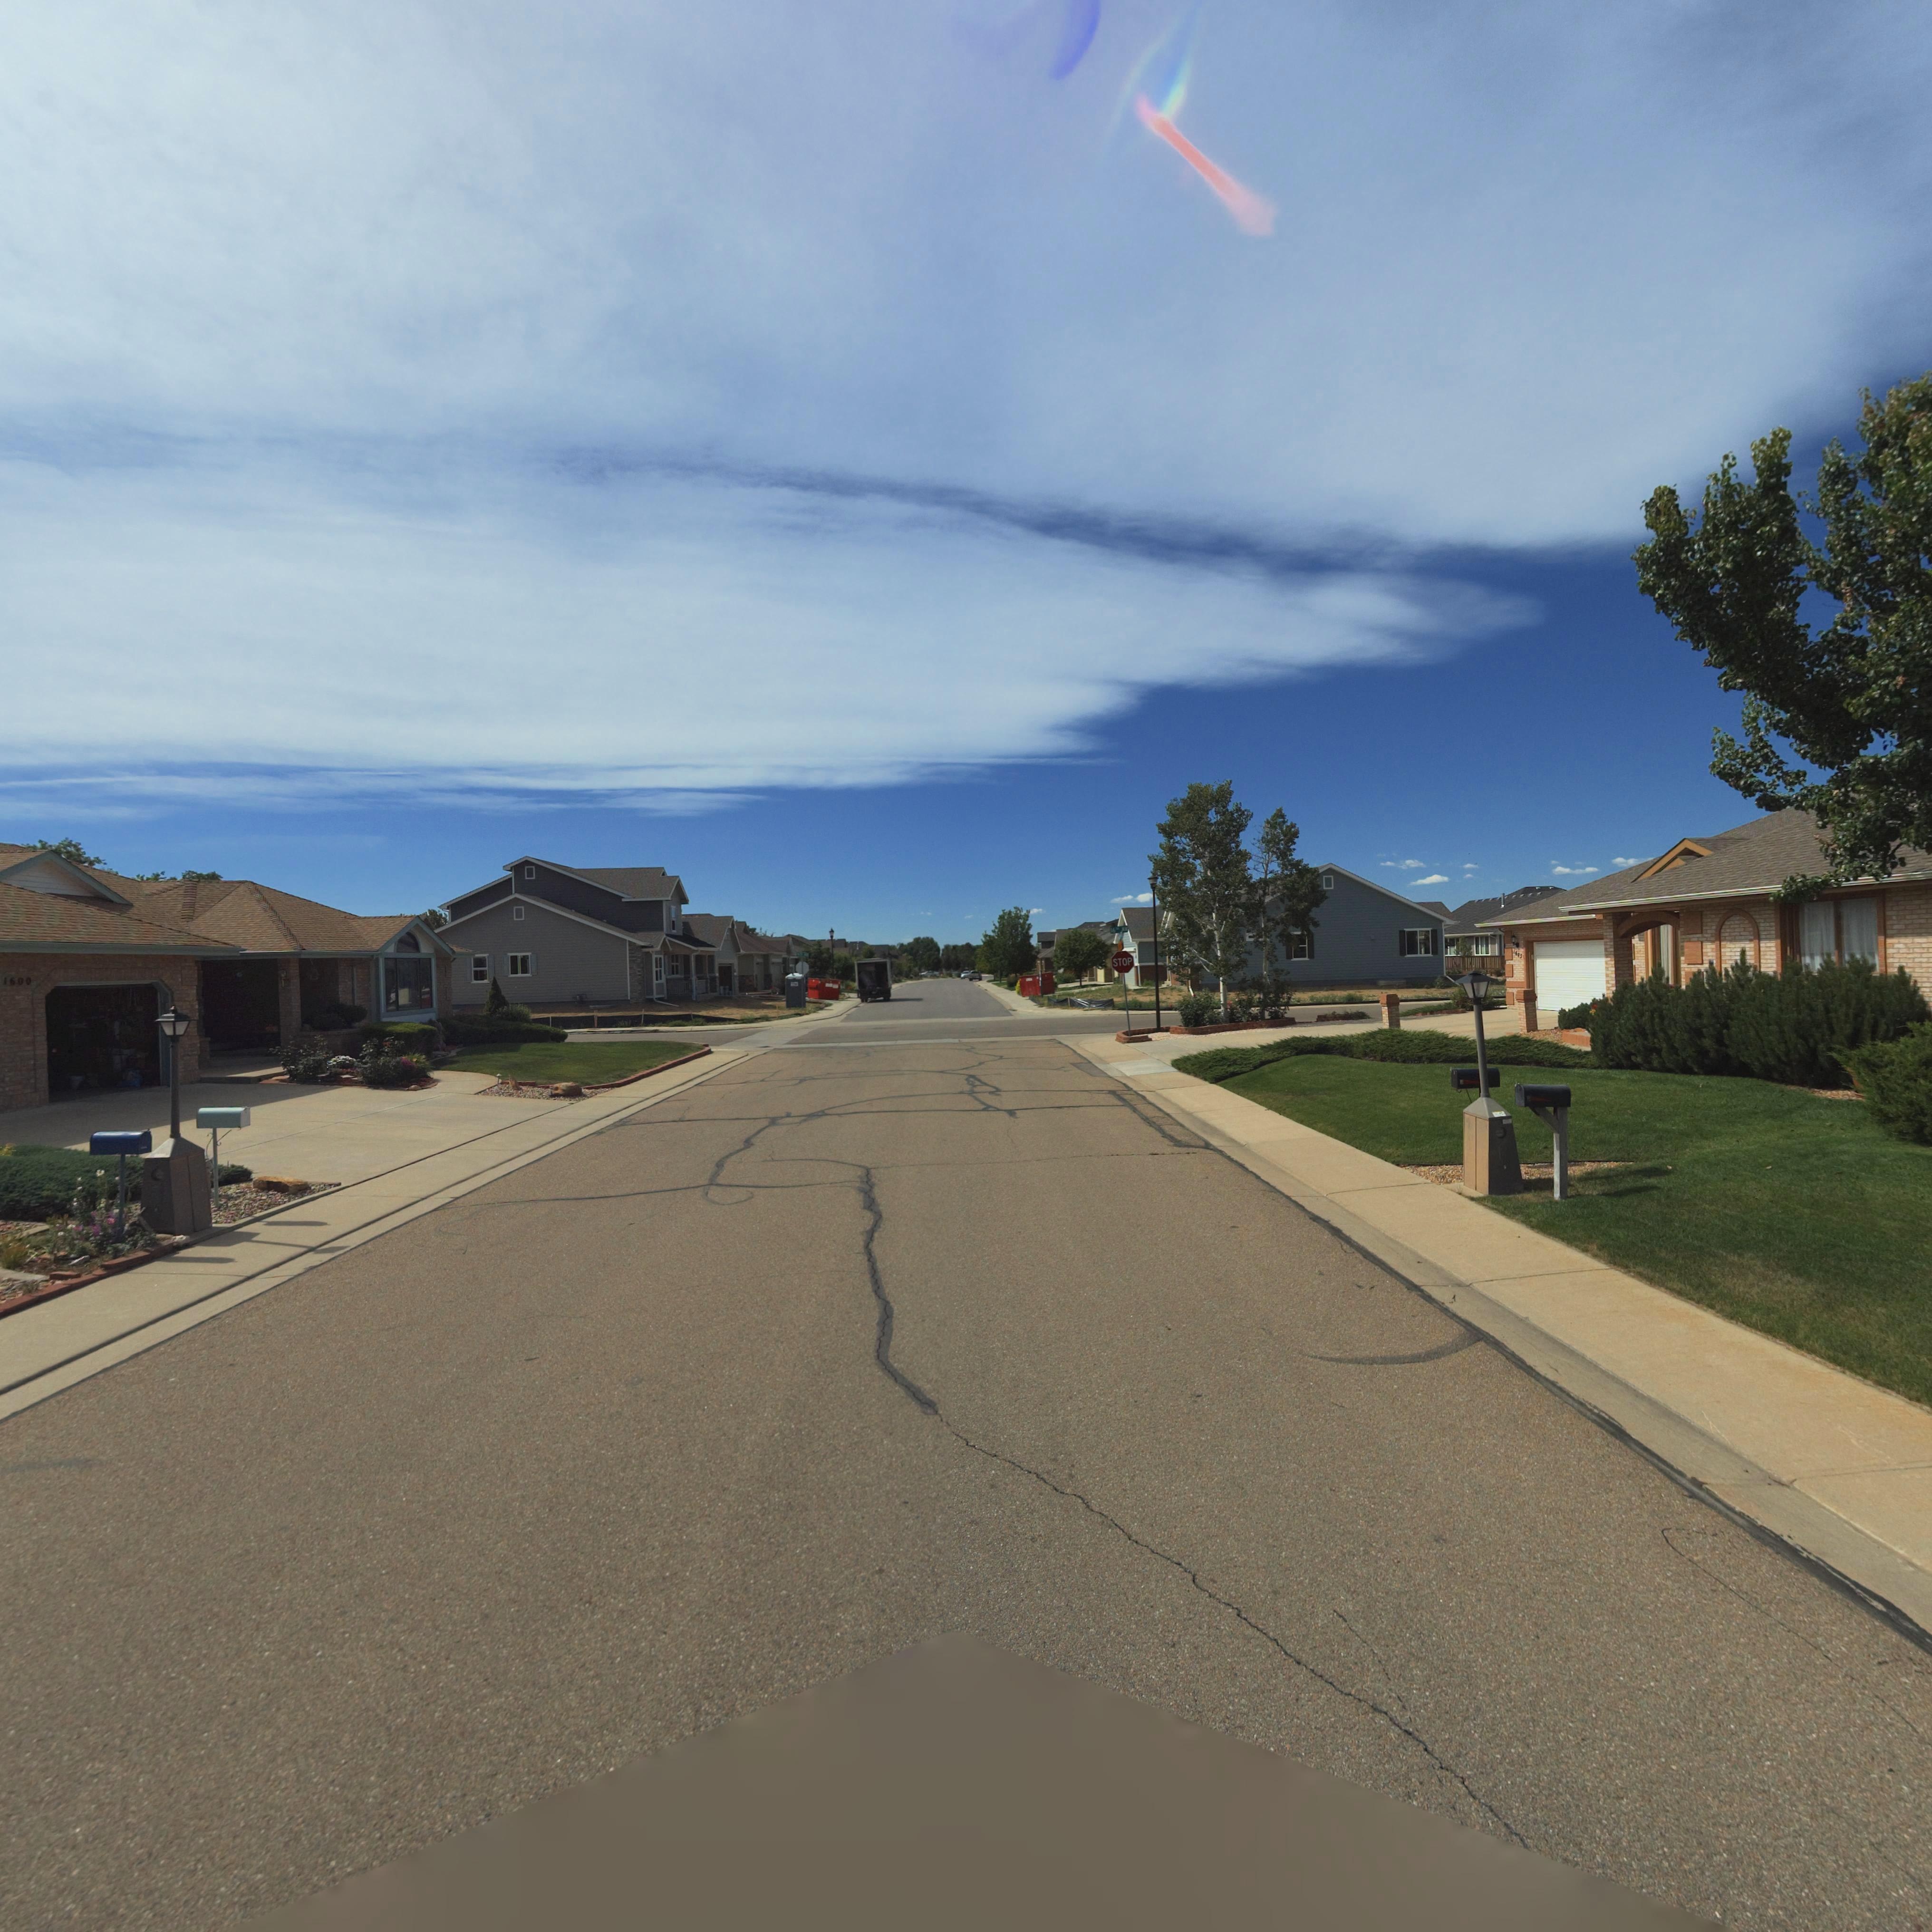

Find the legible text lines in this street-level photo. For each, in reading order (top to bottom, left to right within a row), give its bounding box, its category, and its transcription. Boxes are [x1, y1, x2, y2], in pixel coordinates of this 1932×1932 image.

[1110, 926, 1128, 933] StreetName: 16** AV
[1513, 948, 1522, 959] StreetNumber: 1***
[2, 976, 32, 986] StreetNumber: 1600